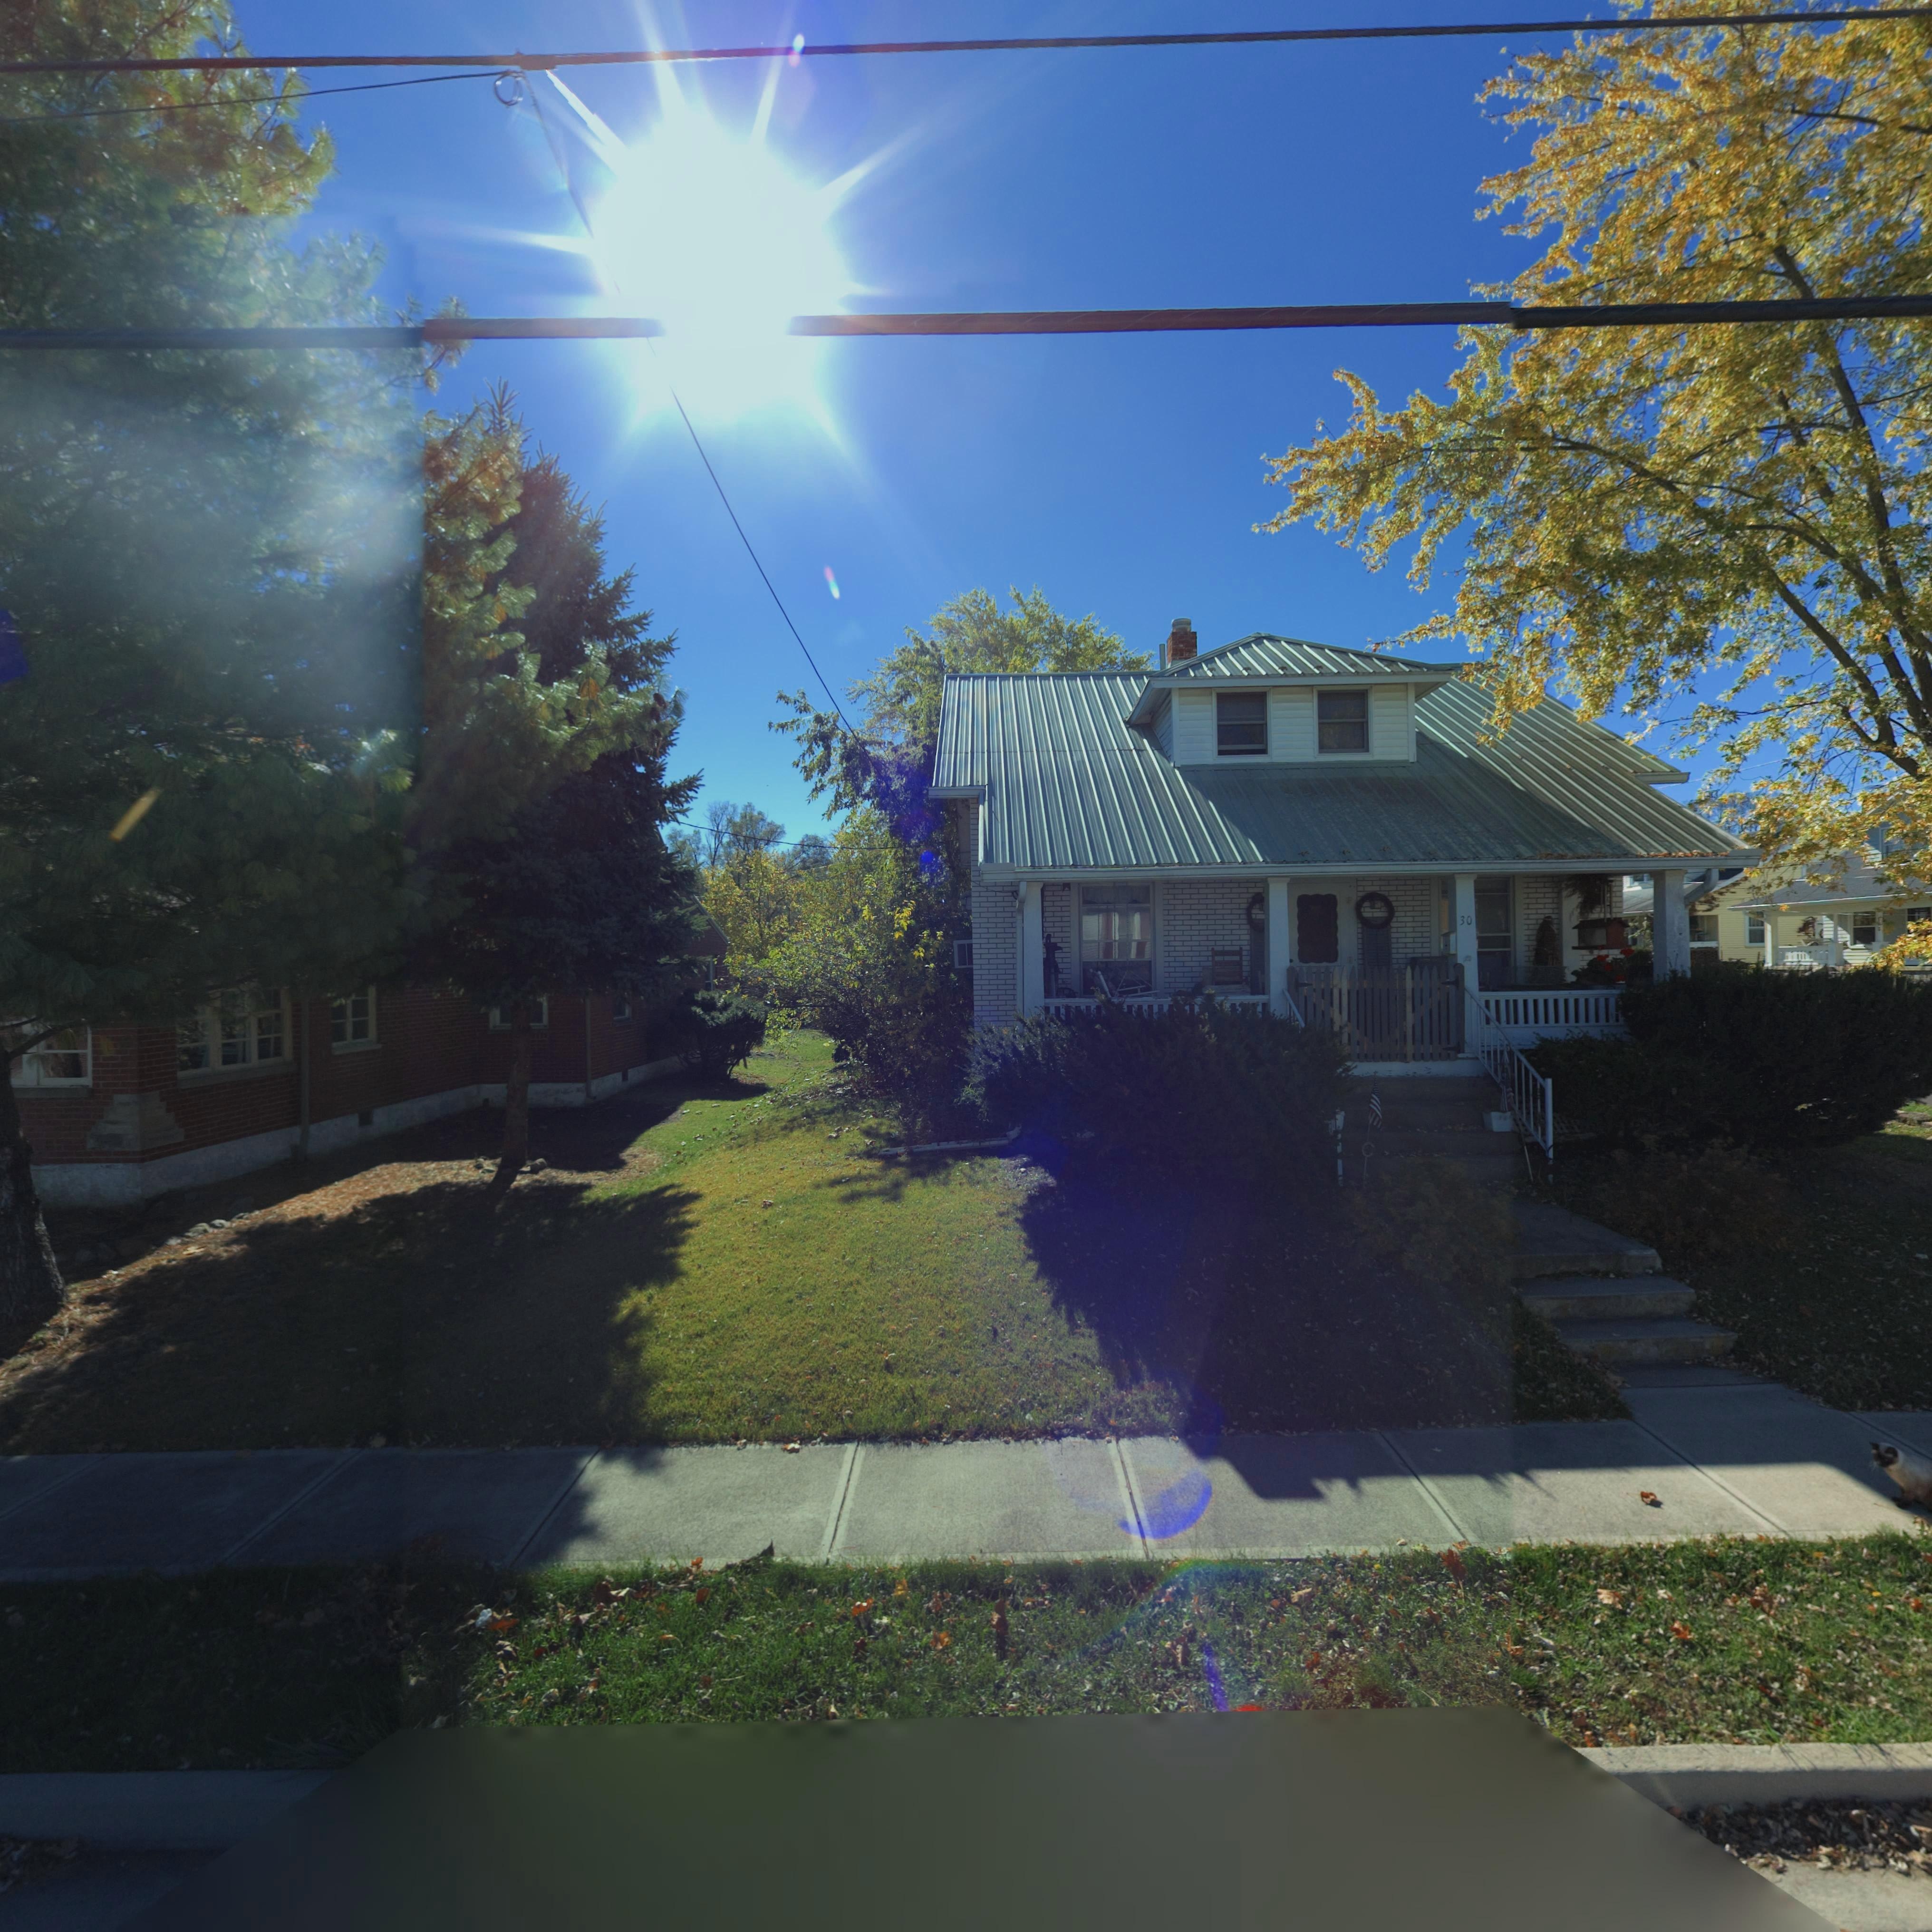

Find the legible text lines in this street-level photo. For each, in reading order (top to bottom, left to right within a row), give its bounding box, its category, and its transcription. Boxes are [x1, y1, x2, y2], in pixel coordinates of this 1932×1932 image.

[1459, 915, 1472, 926] StreetNumber: 30